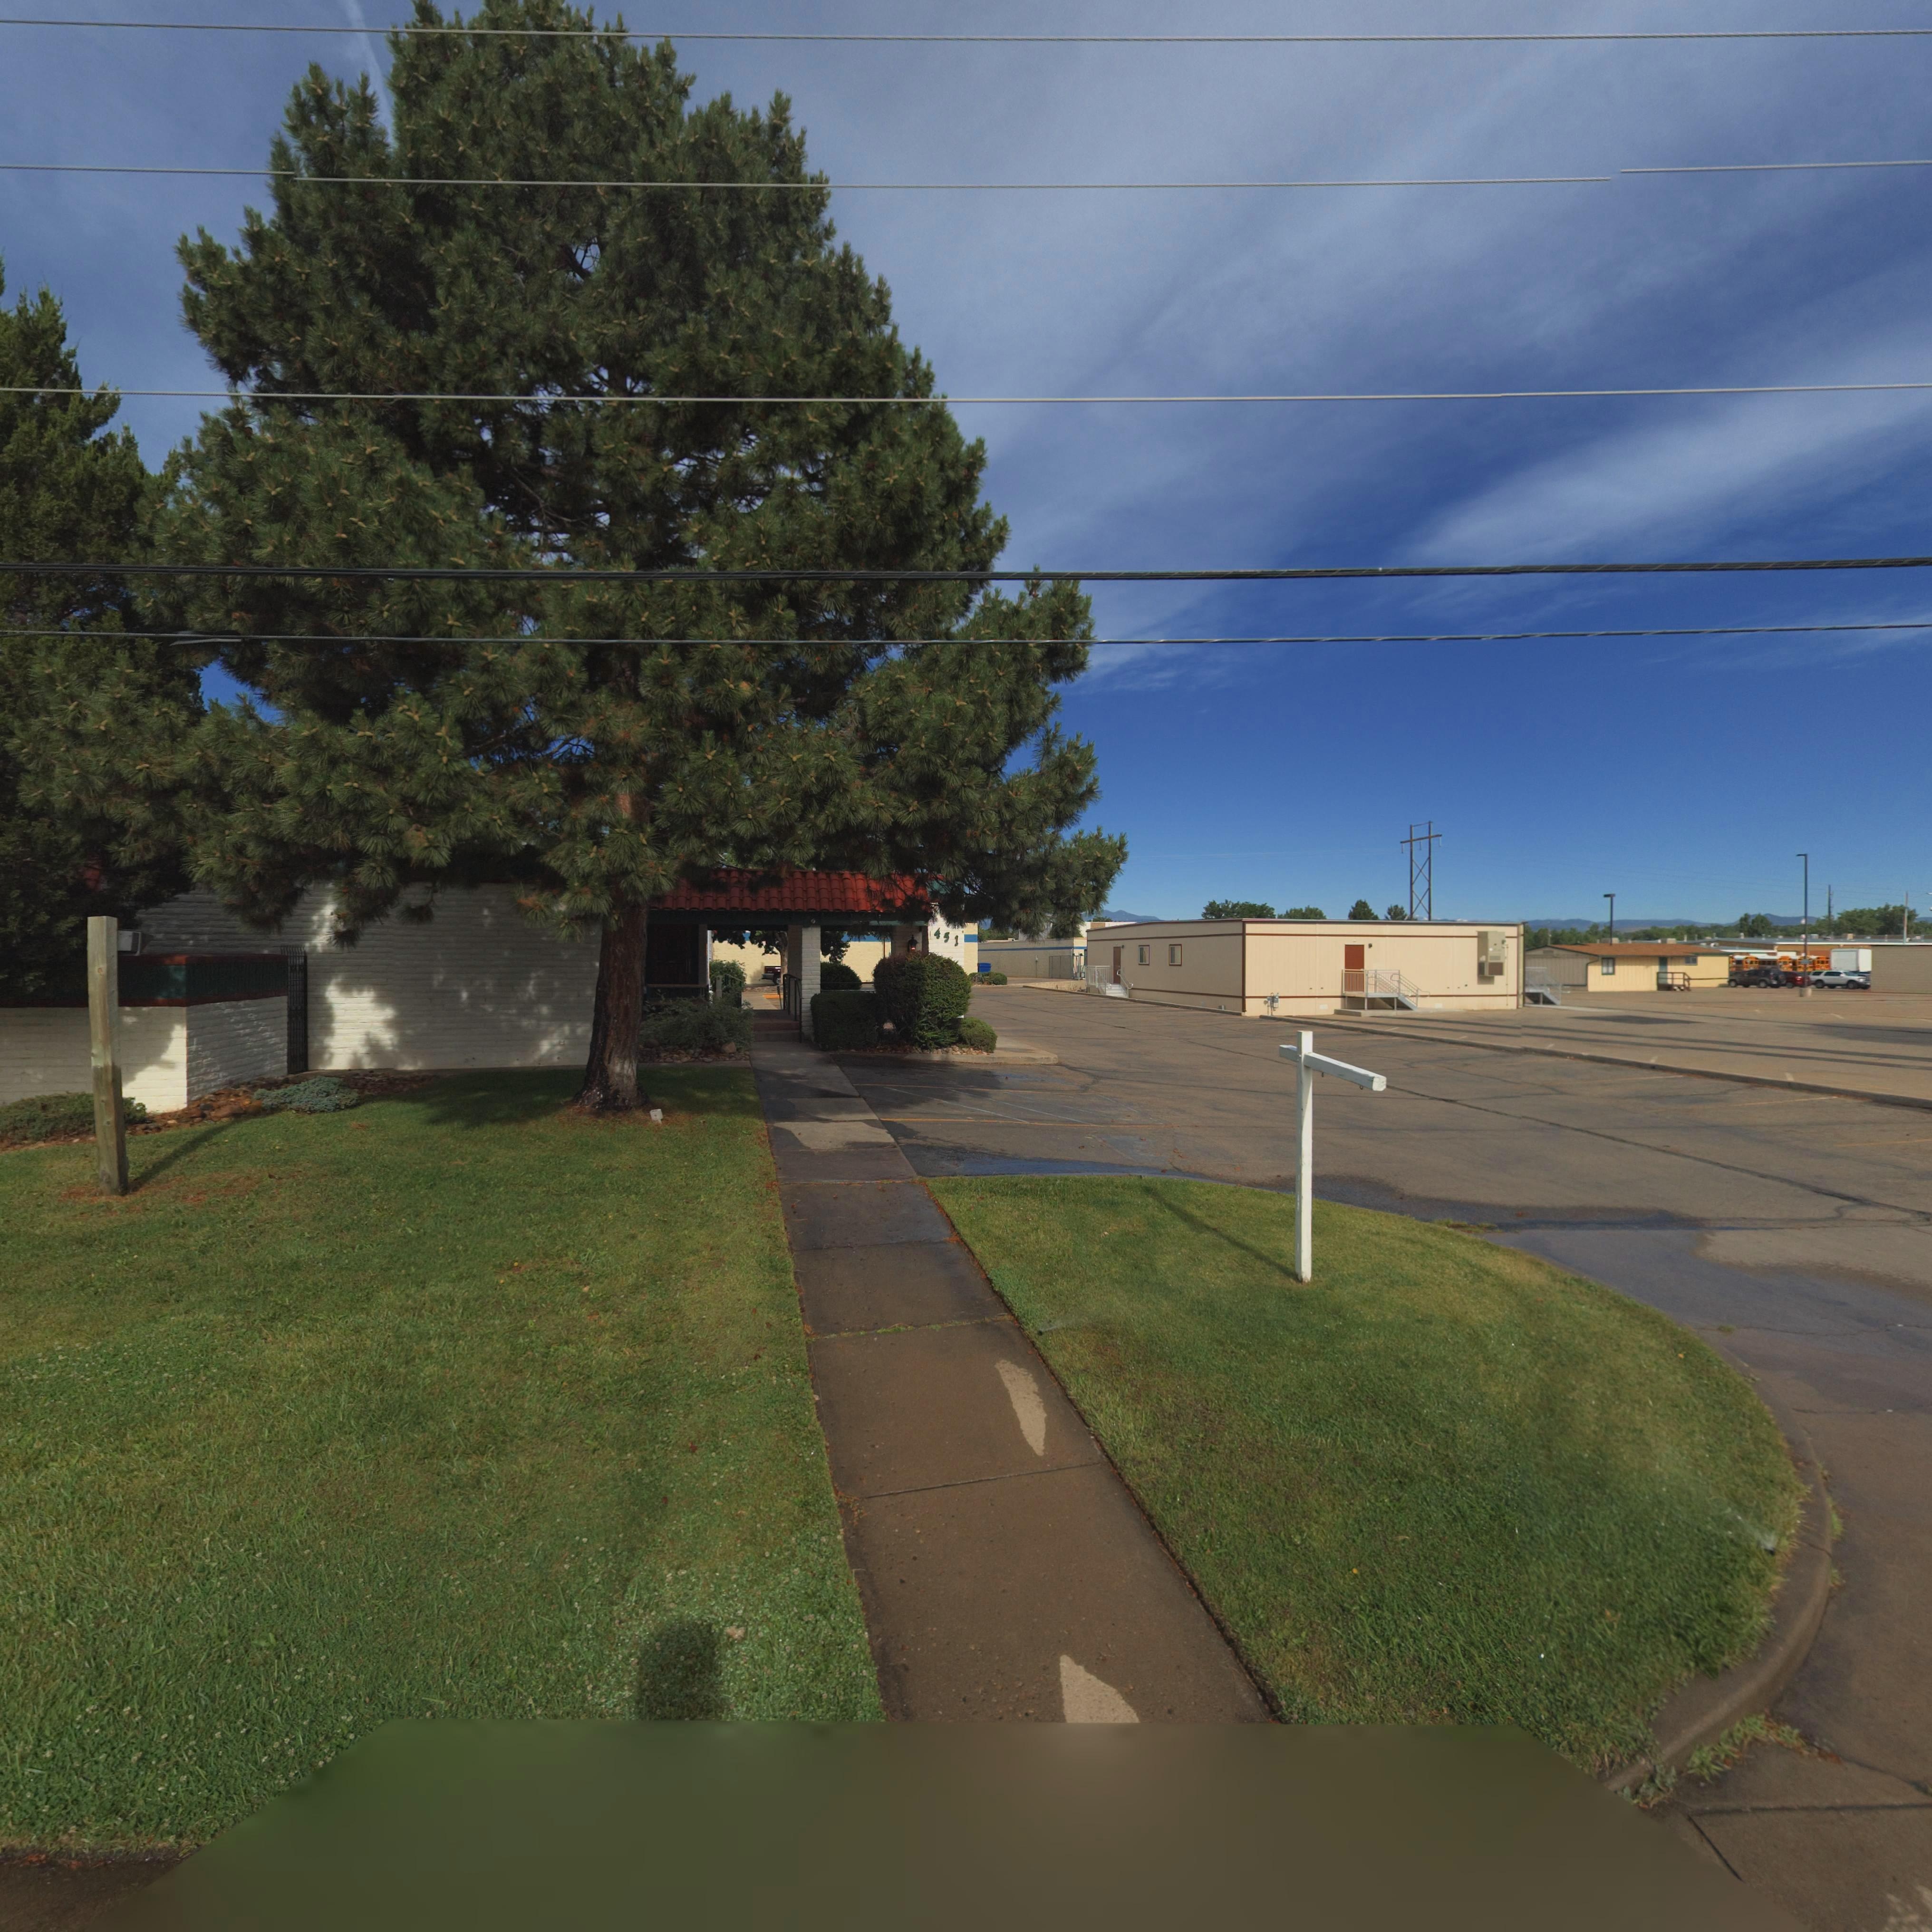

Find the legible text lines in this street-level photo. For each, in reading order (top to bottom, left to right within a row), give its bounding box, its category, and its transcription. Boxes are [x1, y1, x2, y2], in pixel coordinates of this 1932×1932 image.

[933, 927, 959, 947] StreetNumber: 451